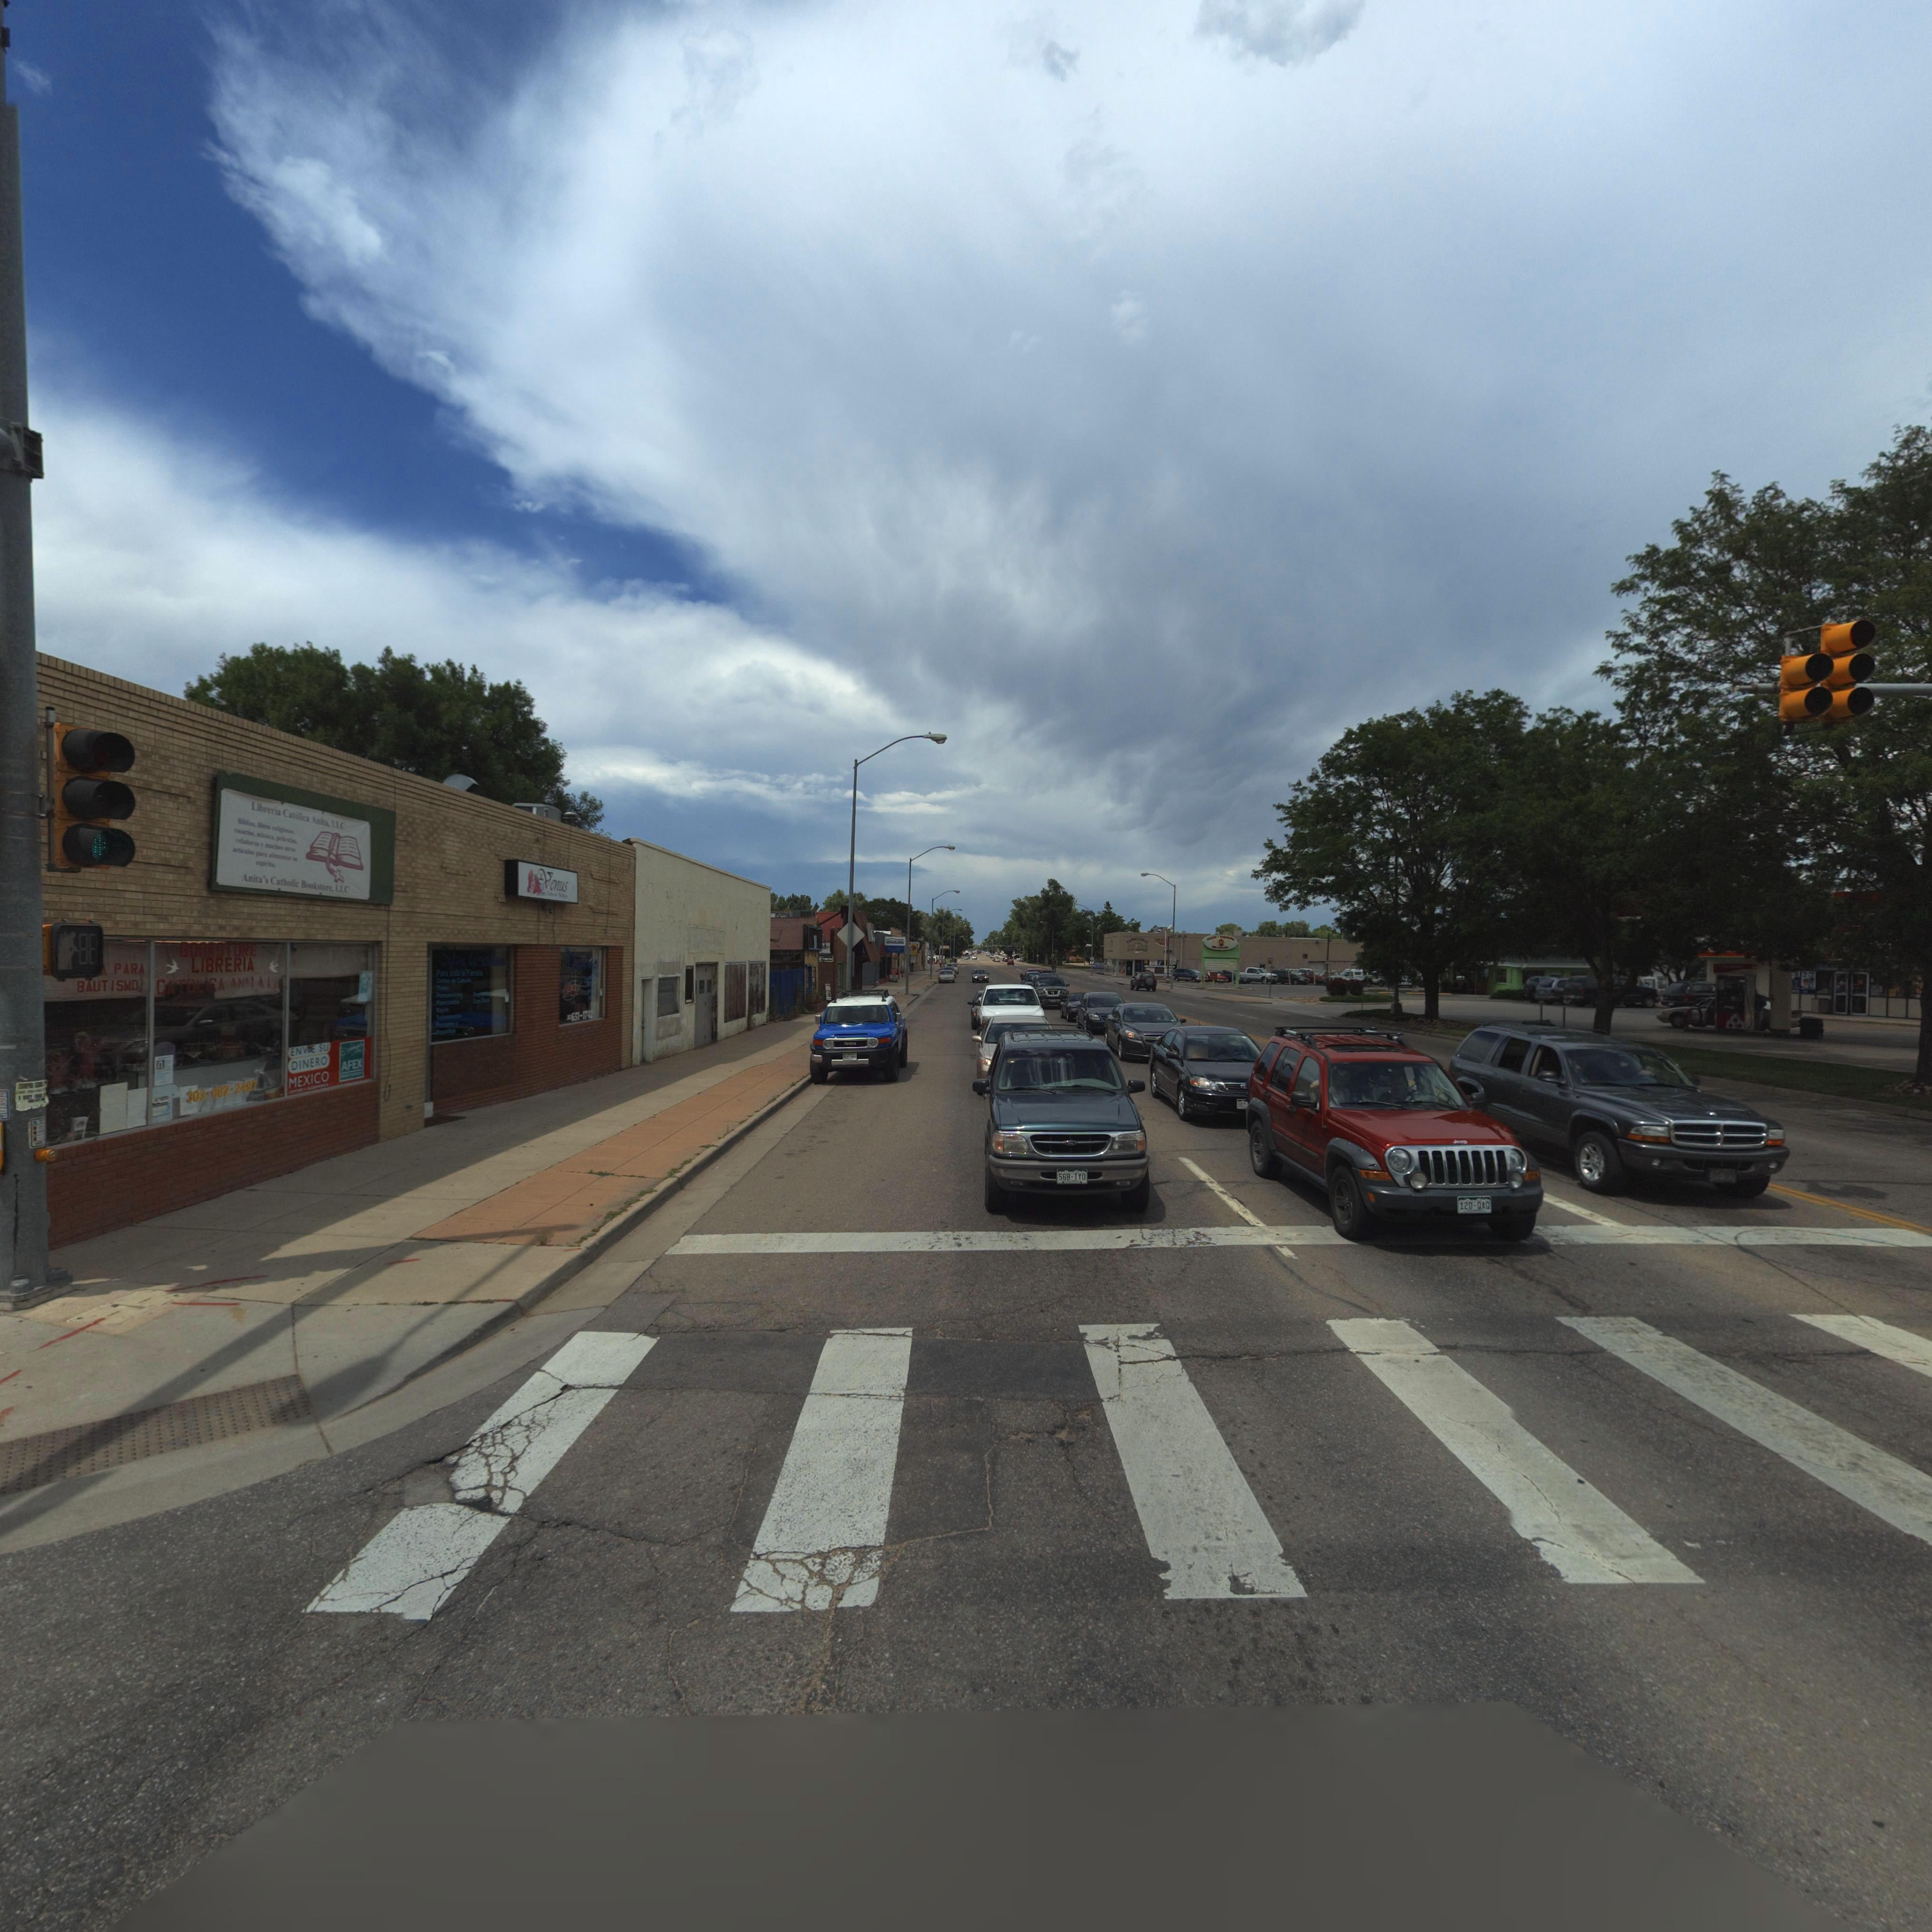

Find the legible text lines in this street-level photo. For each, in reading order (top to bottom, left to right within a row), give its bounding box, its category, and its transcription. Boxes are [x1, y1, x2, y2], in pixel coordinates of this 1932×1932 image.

[251, 801, 345, 830] BusinessName: Libreria Catolica Anita, LLC
[241, 873, 350, 893] BusinessName: Anita's Catholic Bookstore, LLC
[543, 871, 569, 891] BusinessName: Venus
[157, 977, 225, 995] BusinessName: CATOLICA